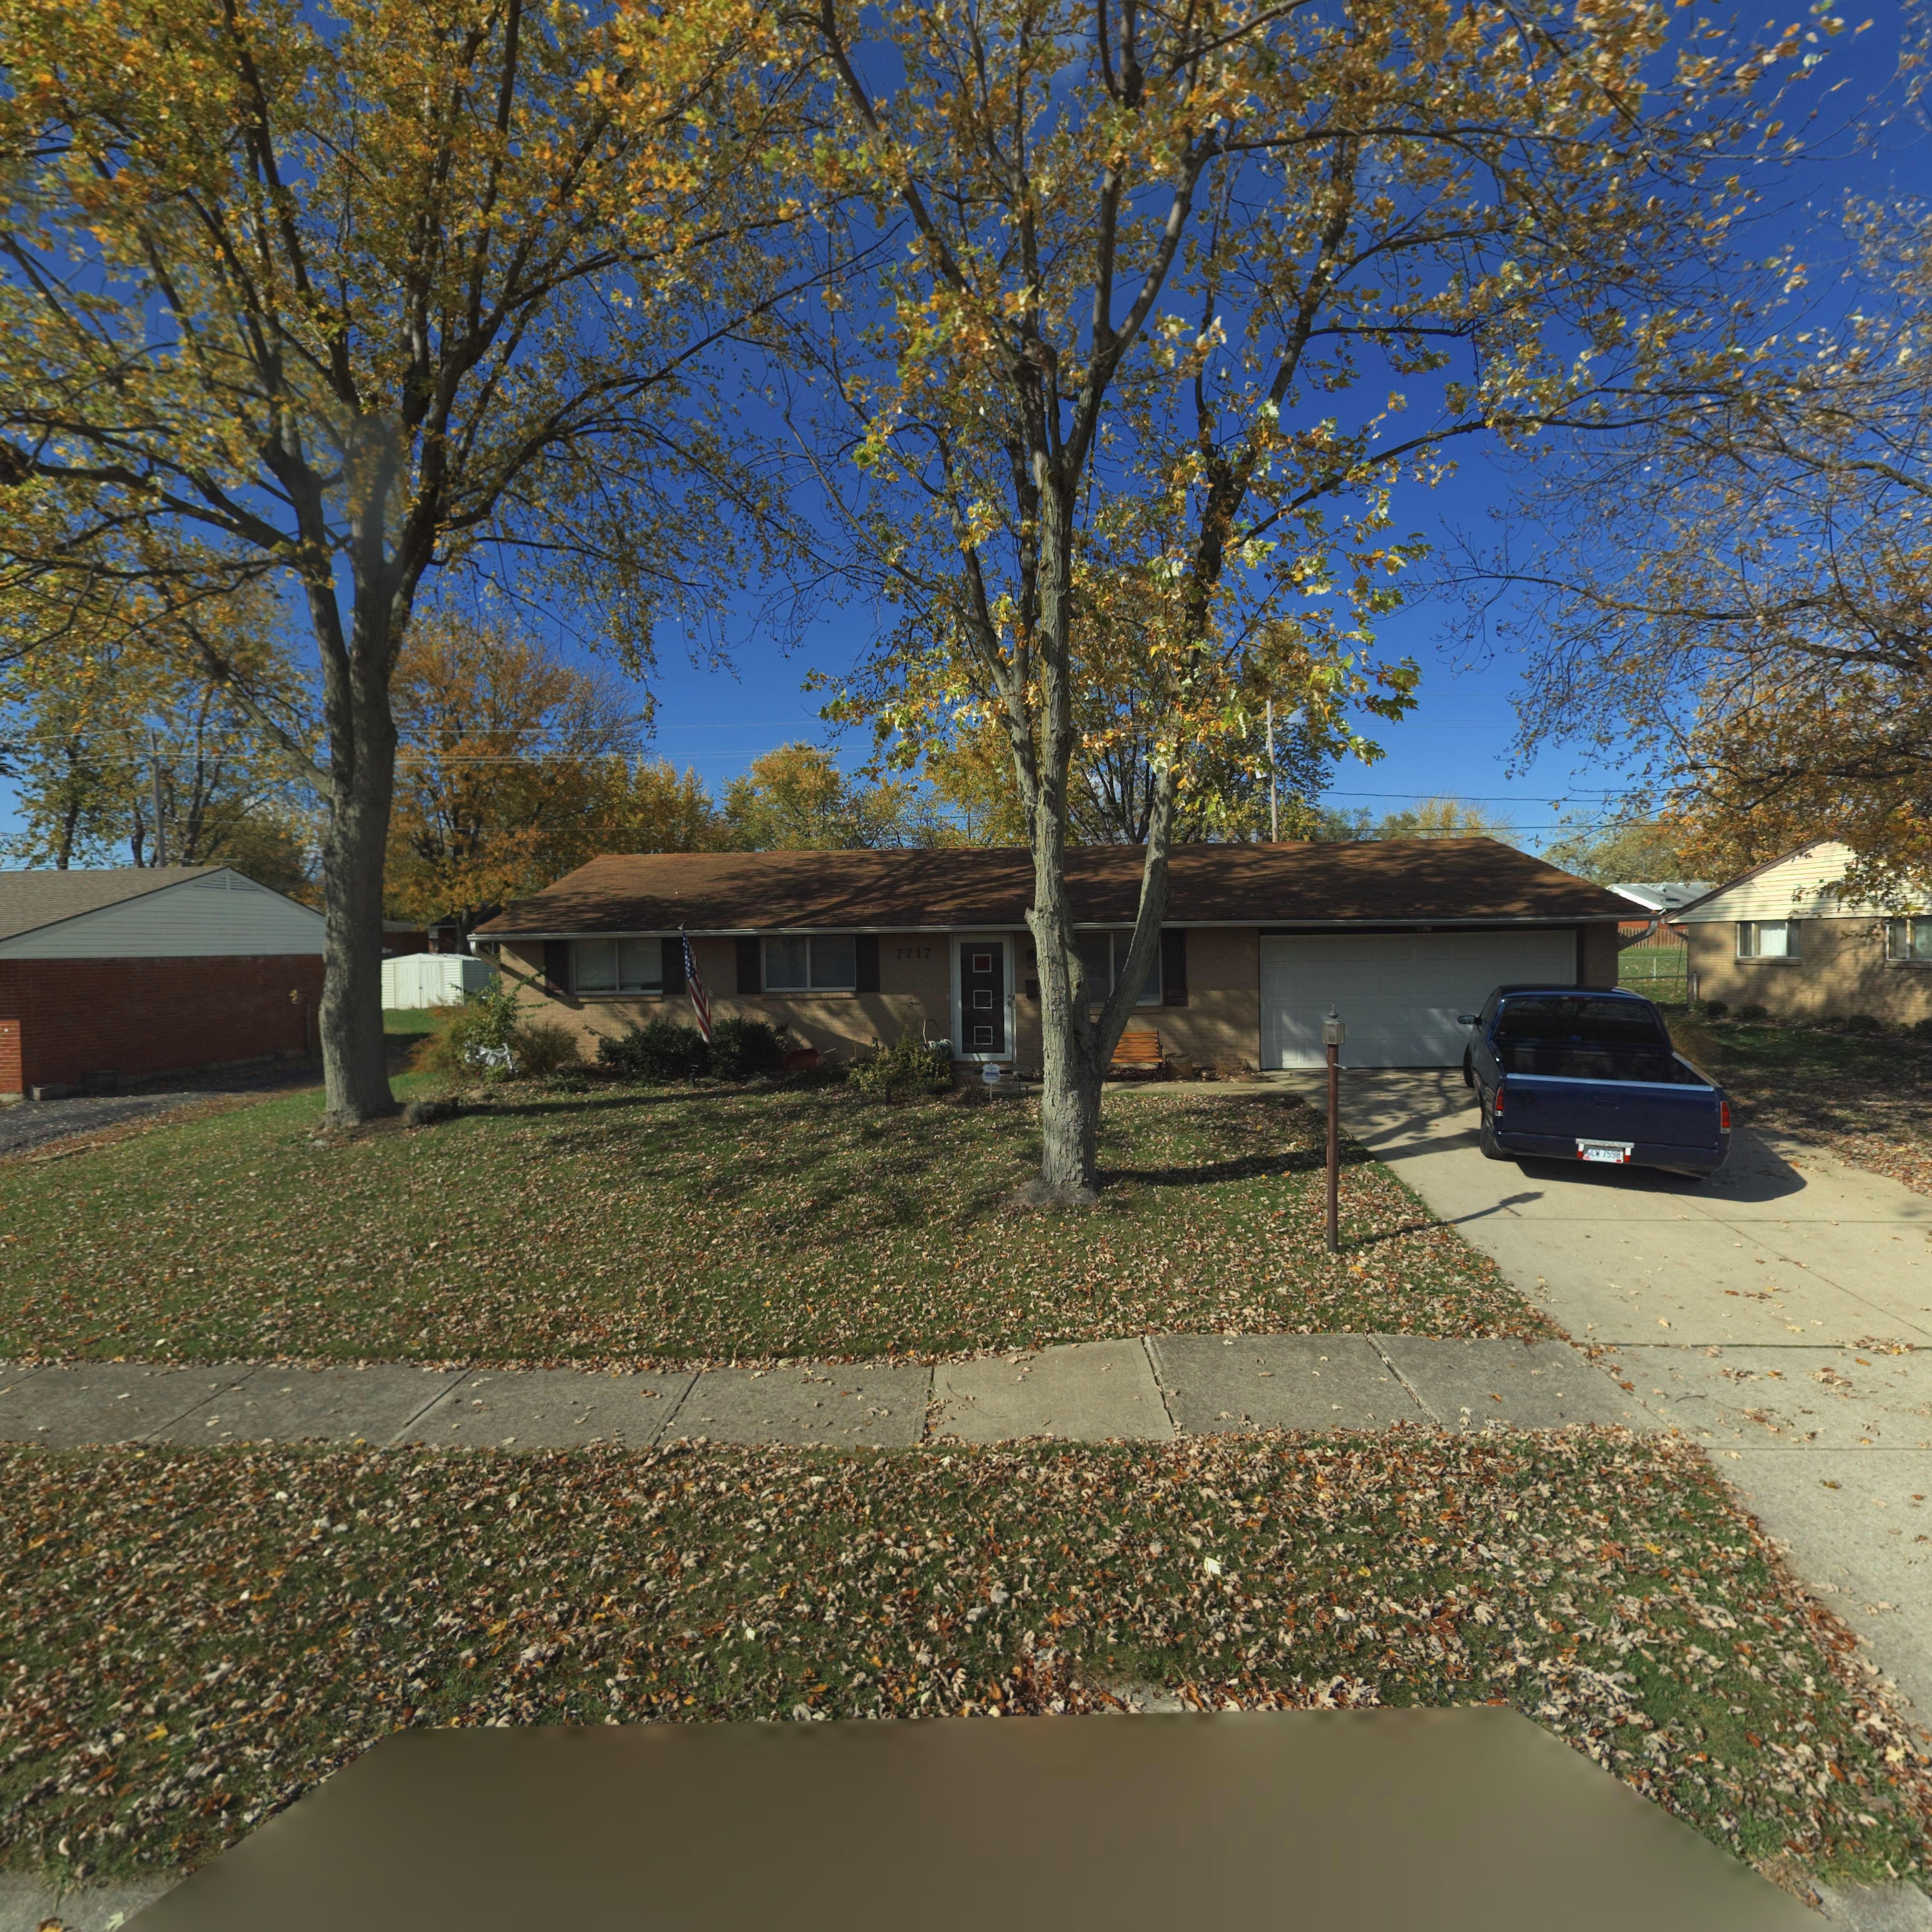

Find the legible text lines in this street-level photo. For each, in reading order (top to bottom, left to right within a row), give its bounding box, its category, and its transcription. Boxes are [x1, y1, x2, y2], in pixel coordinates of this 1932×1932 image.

[895, 947, 932, 960] StreetNumber: 7717